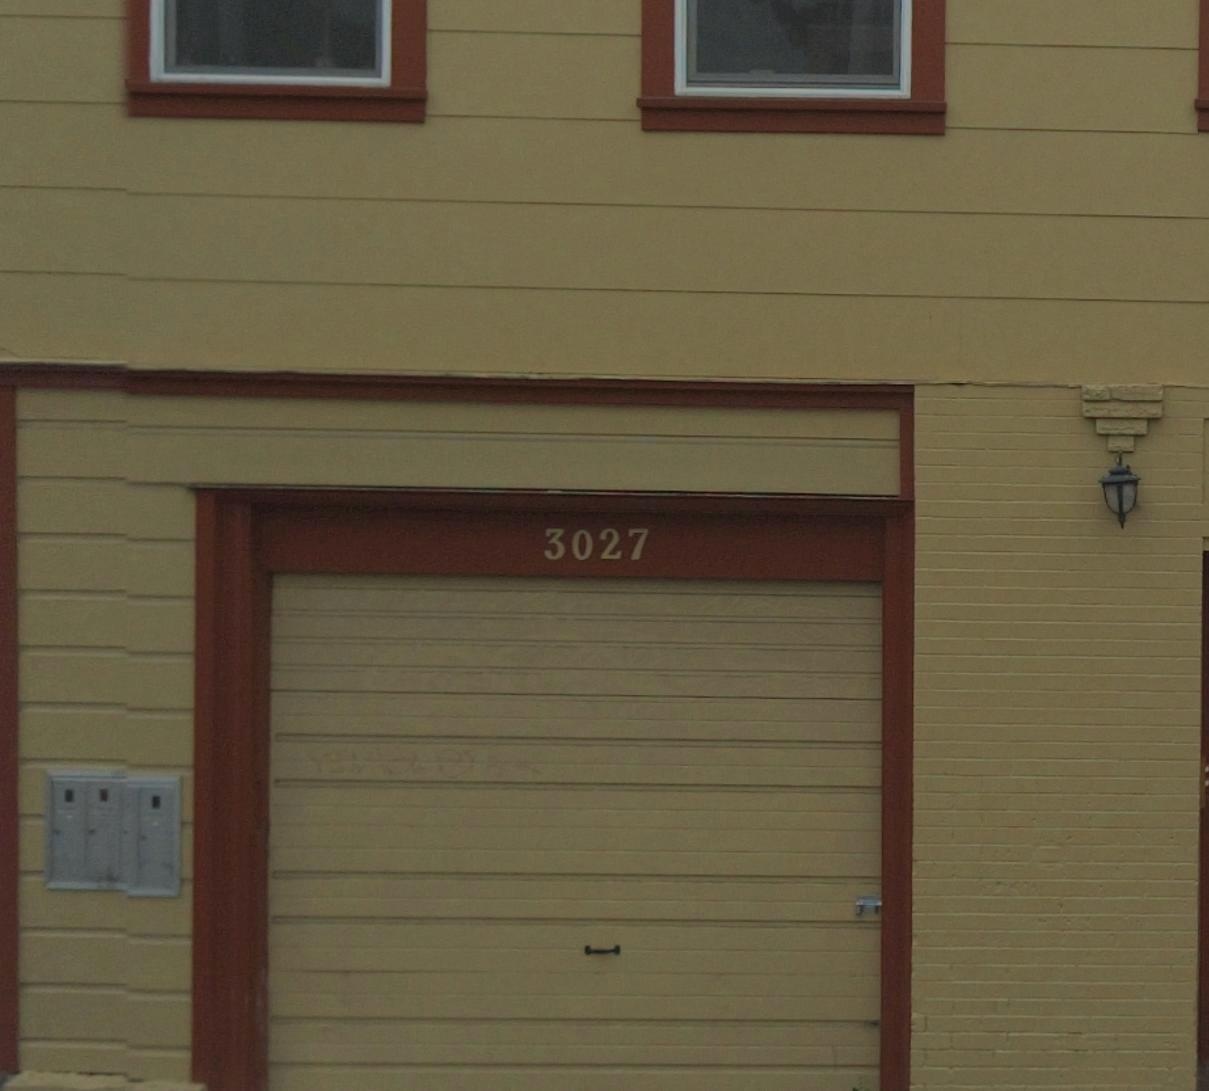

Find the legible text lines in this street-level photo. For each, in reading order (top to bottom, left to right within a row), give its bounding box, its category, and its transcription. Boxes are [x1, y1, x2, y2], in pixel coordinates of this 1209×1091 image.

[542, 526, 652, 562] StreetNumber: 3027